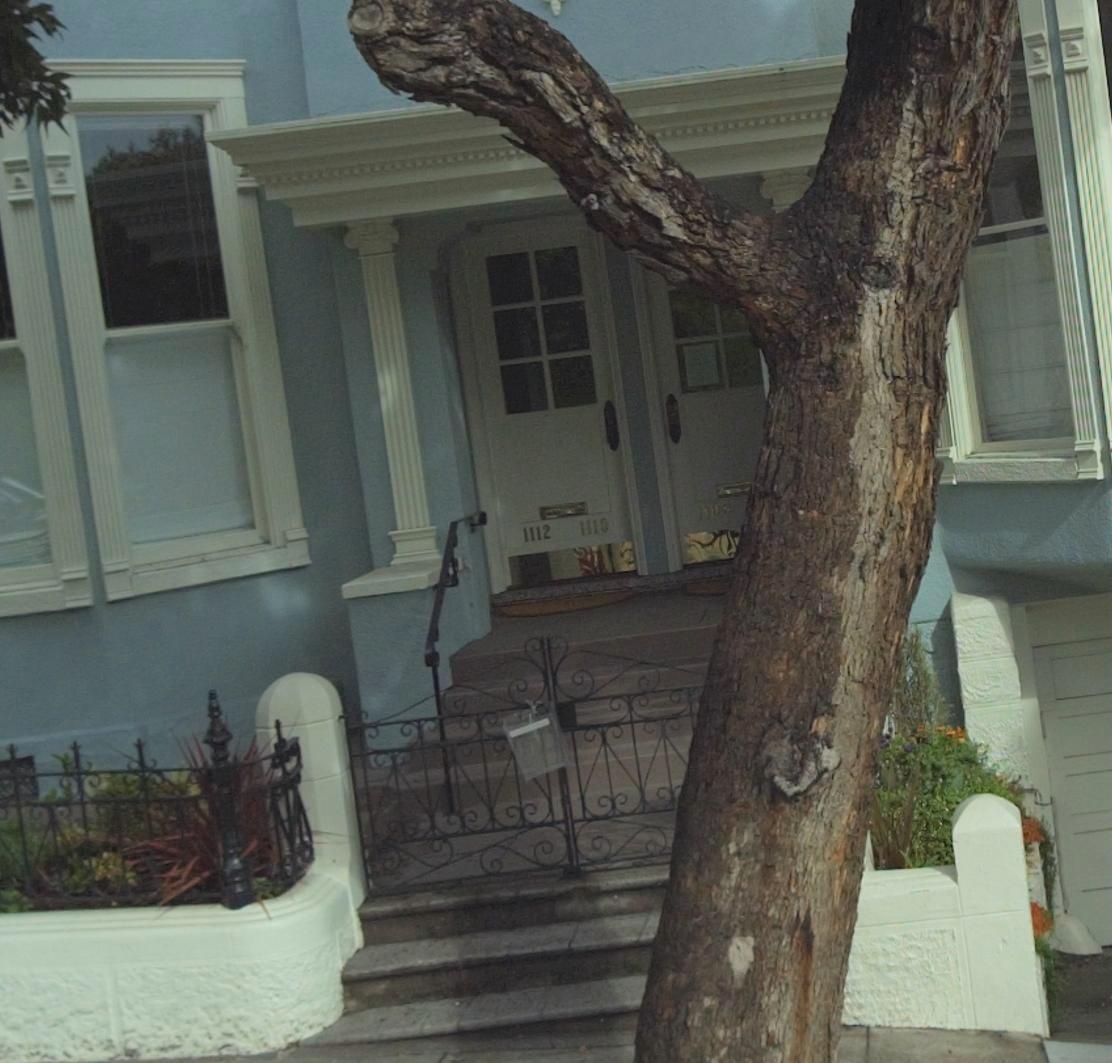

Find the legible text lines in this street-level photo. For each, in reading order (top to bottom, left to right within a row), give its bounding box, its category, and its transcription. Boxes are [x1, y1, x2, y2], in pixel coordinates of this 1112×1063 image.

[693, 497, 733, 524] StreetNumber: 110*
[520, 521, 554, 546] StreetNumber: 1112
[577, 514, 612, 540] StreetNumber: 1110